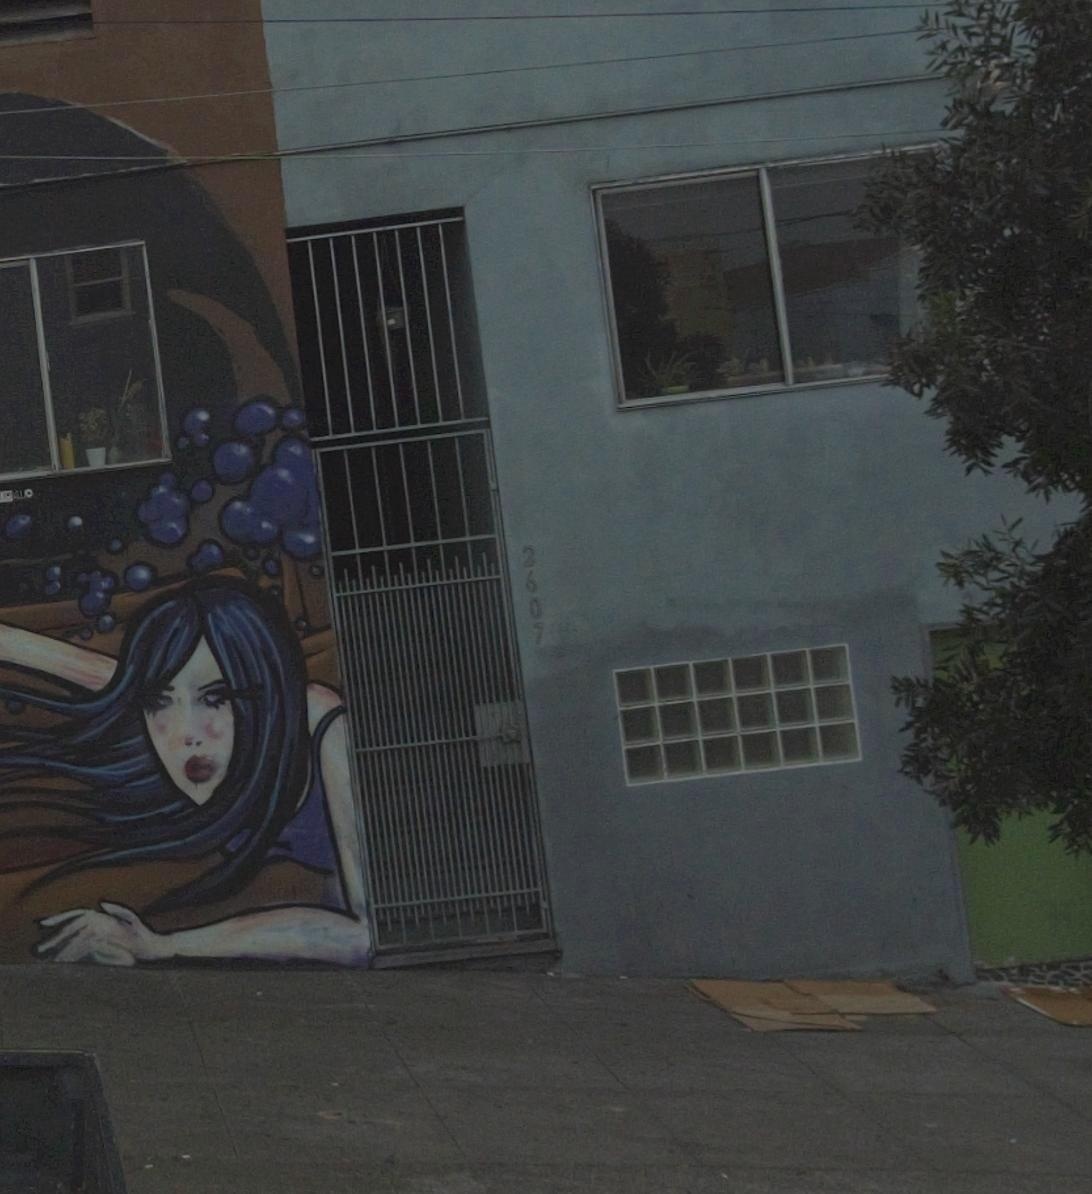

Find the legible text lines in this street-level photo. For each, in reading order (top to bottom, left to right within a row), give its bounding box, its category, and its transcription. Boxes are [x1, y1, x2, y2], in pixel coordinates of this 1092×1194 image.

[520, 543, 548, 648] StreetNumber: 2607